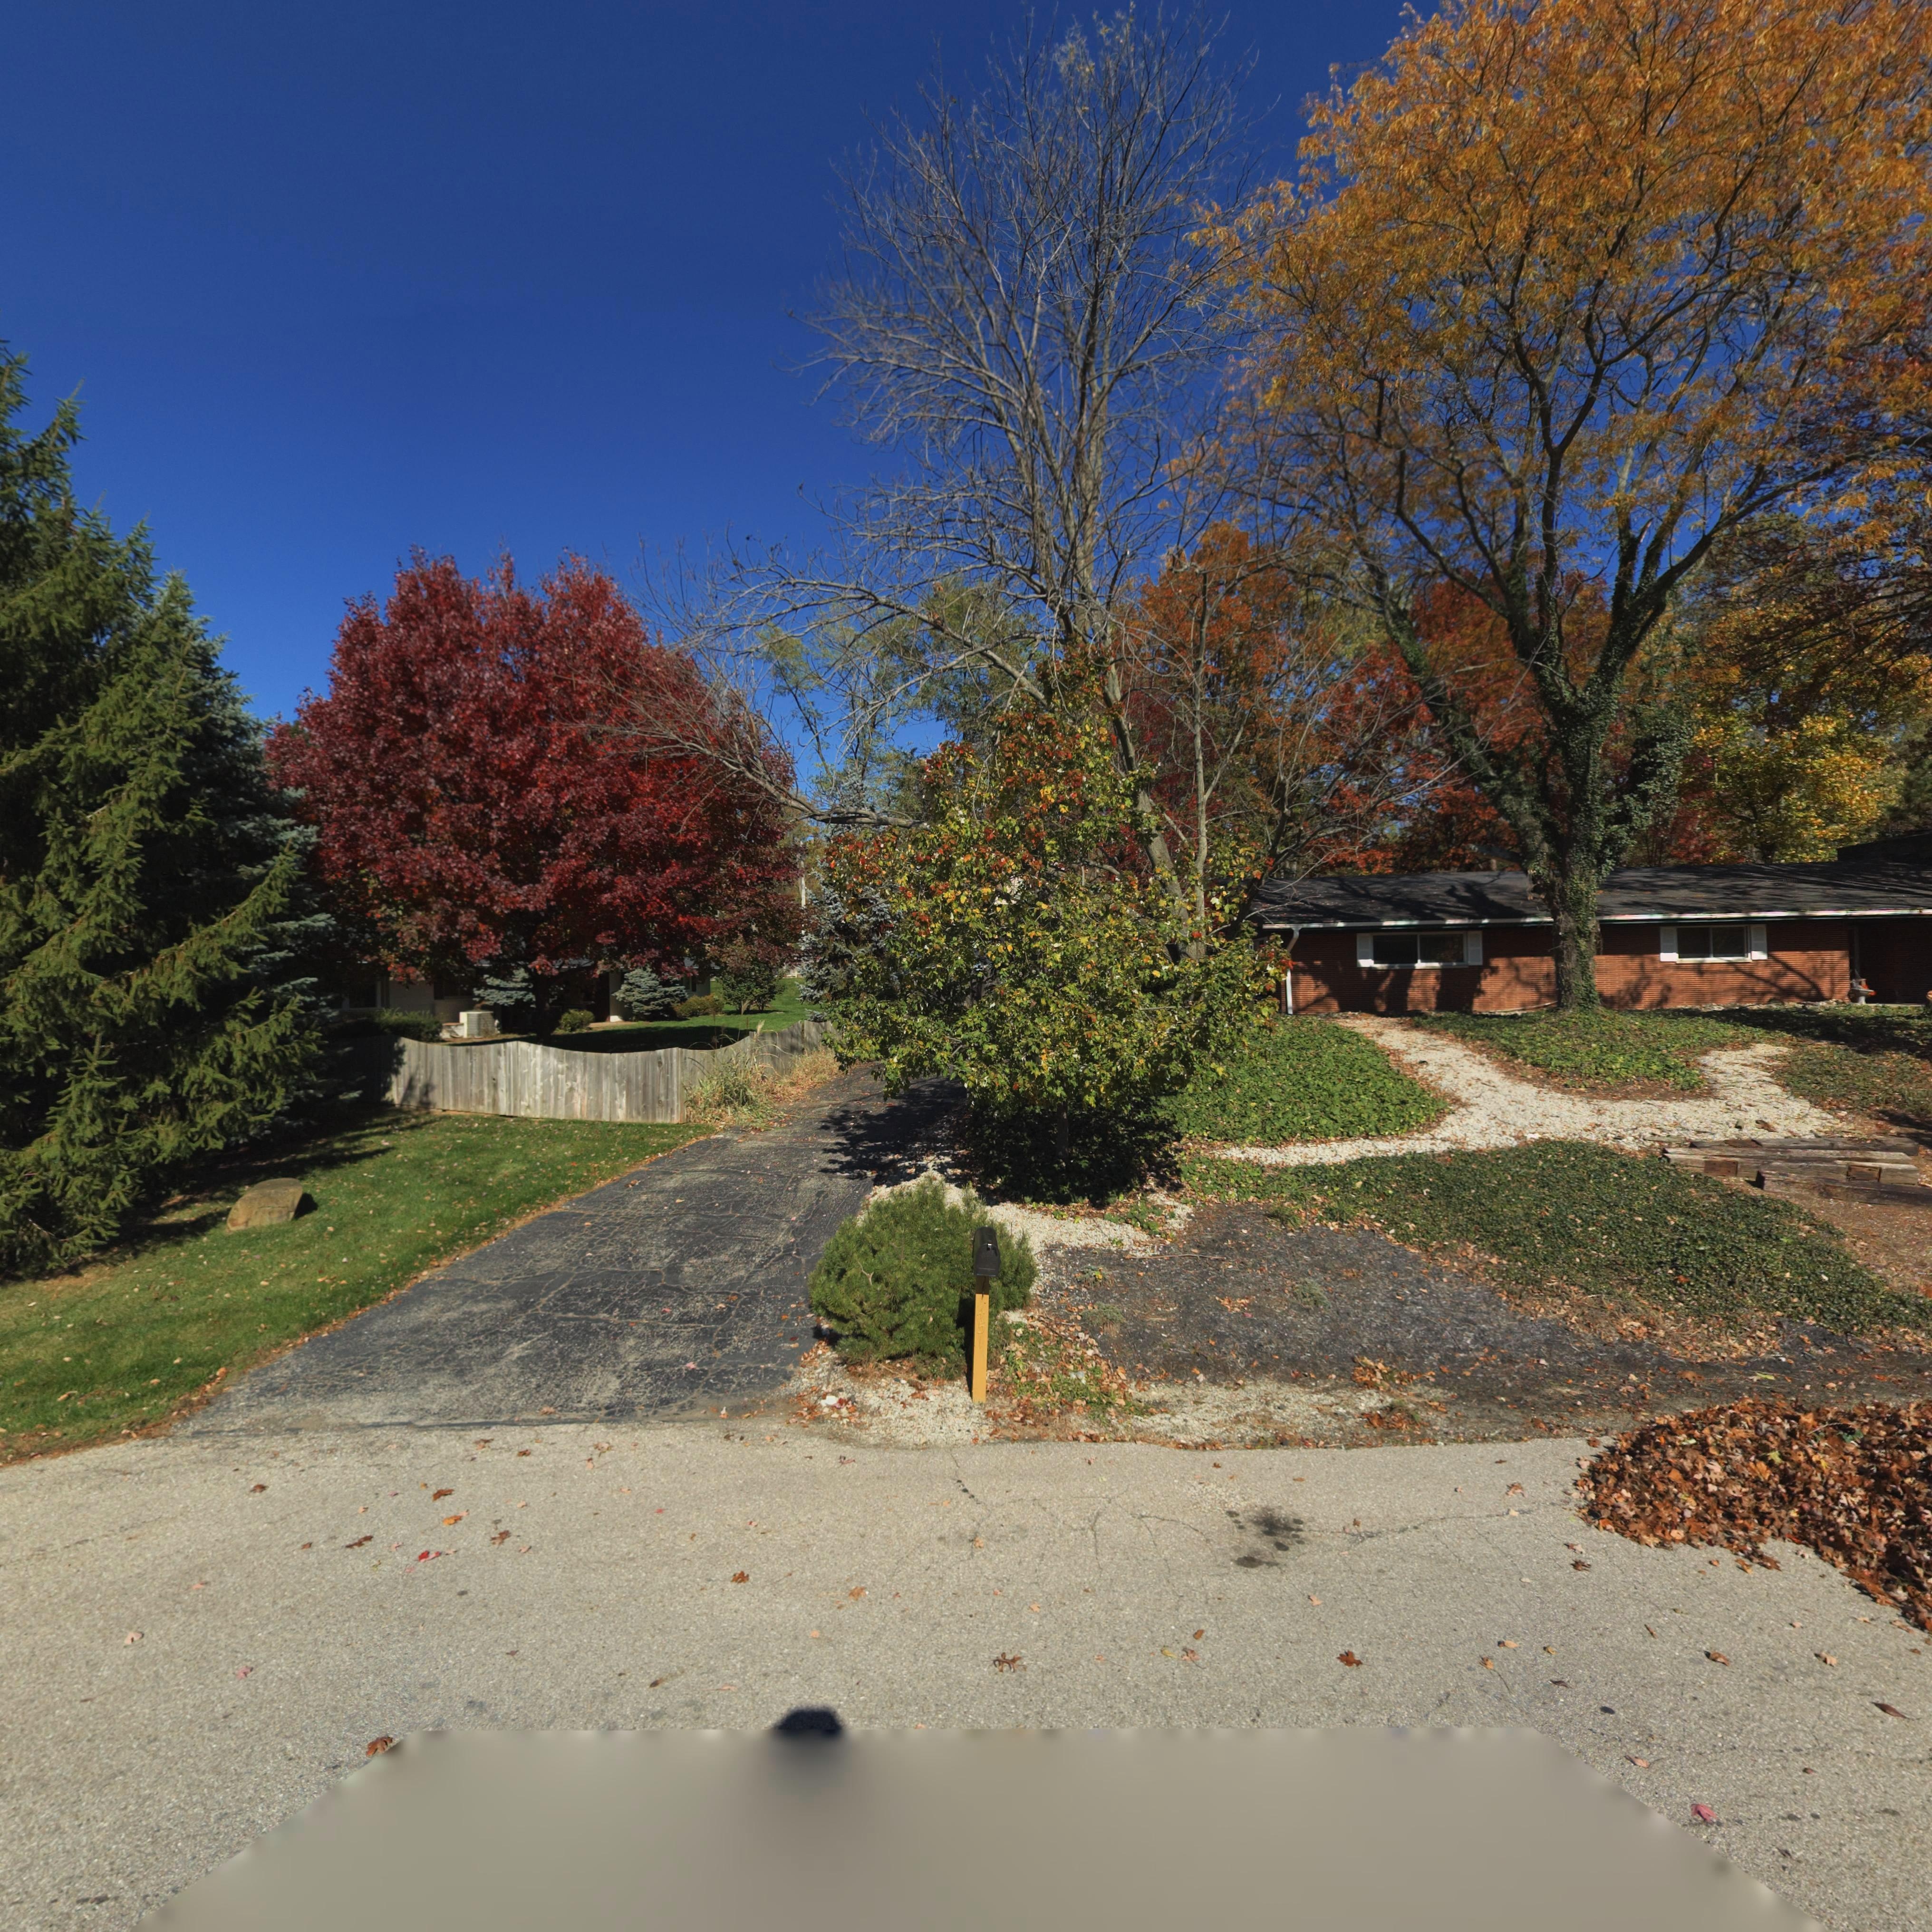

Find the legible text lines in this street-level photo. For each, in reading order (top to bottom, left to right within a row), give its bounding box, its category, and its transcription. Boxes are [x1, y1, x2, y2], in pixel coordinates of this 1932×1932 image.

[975, 1302, 986, 1351] StreetNumber: 451